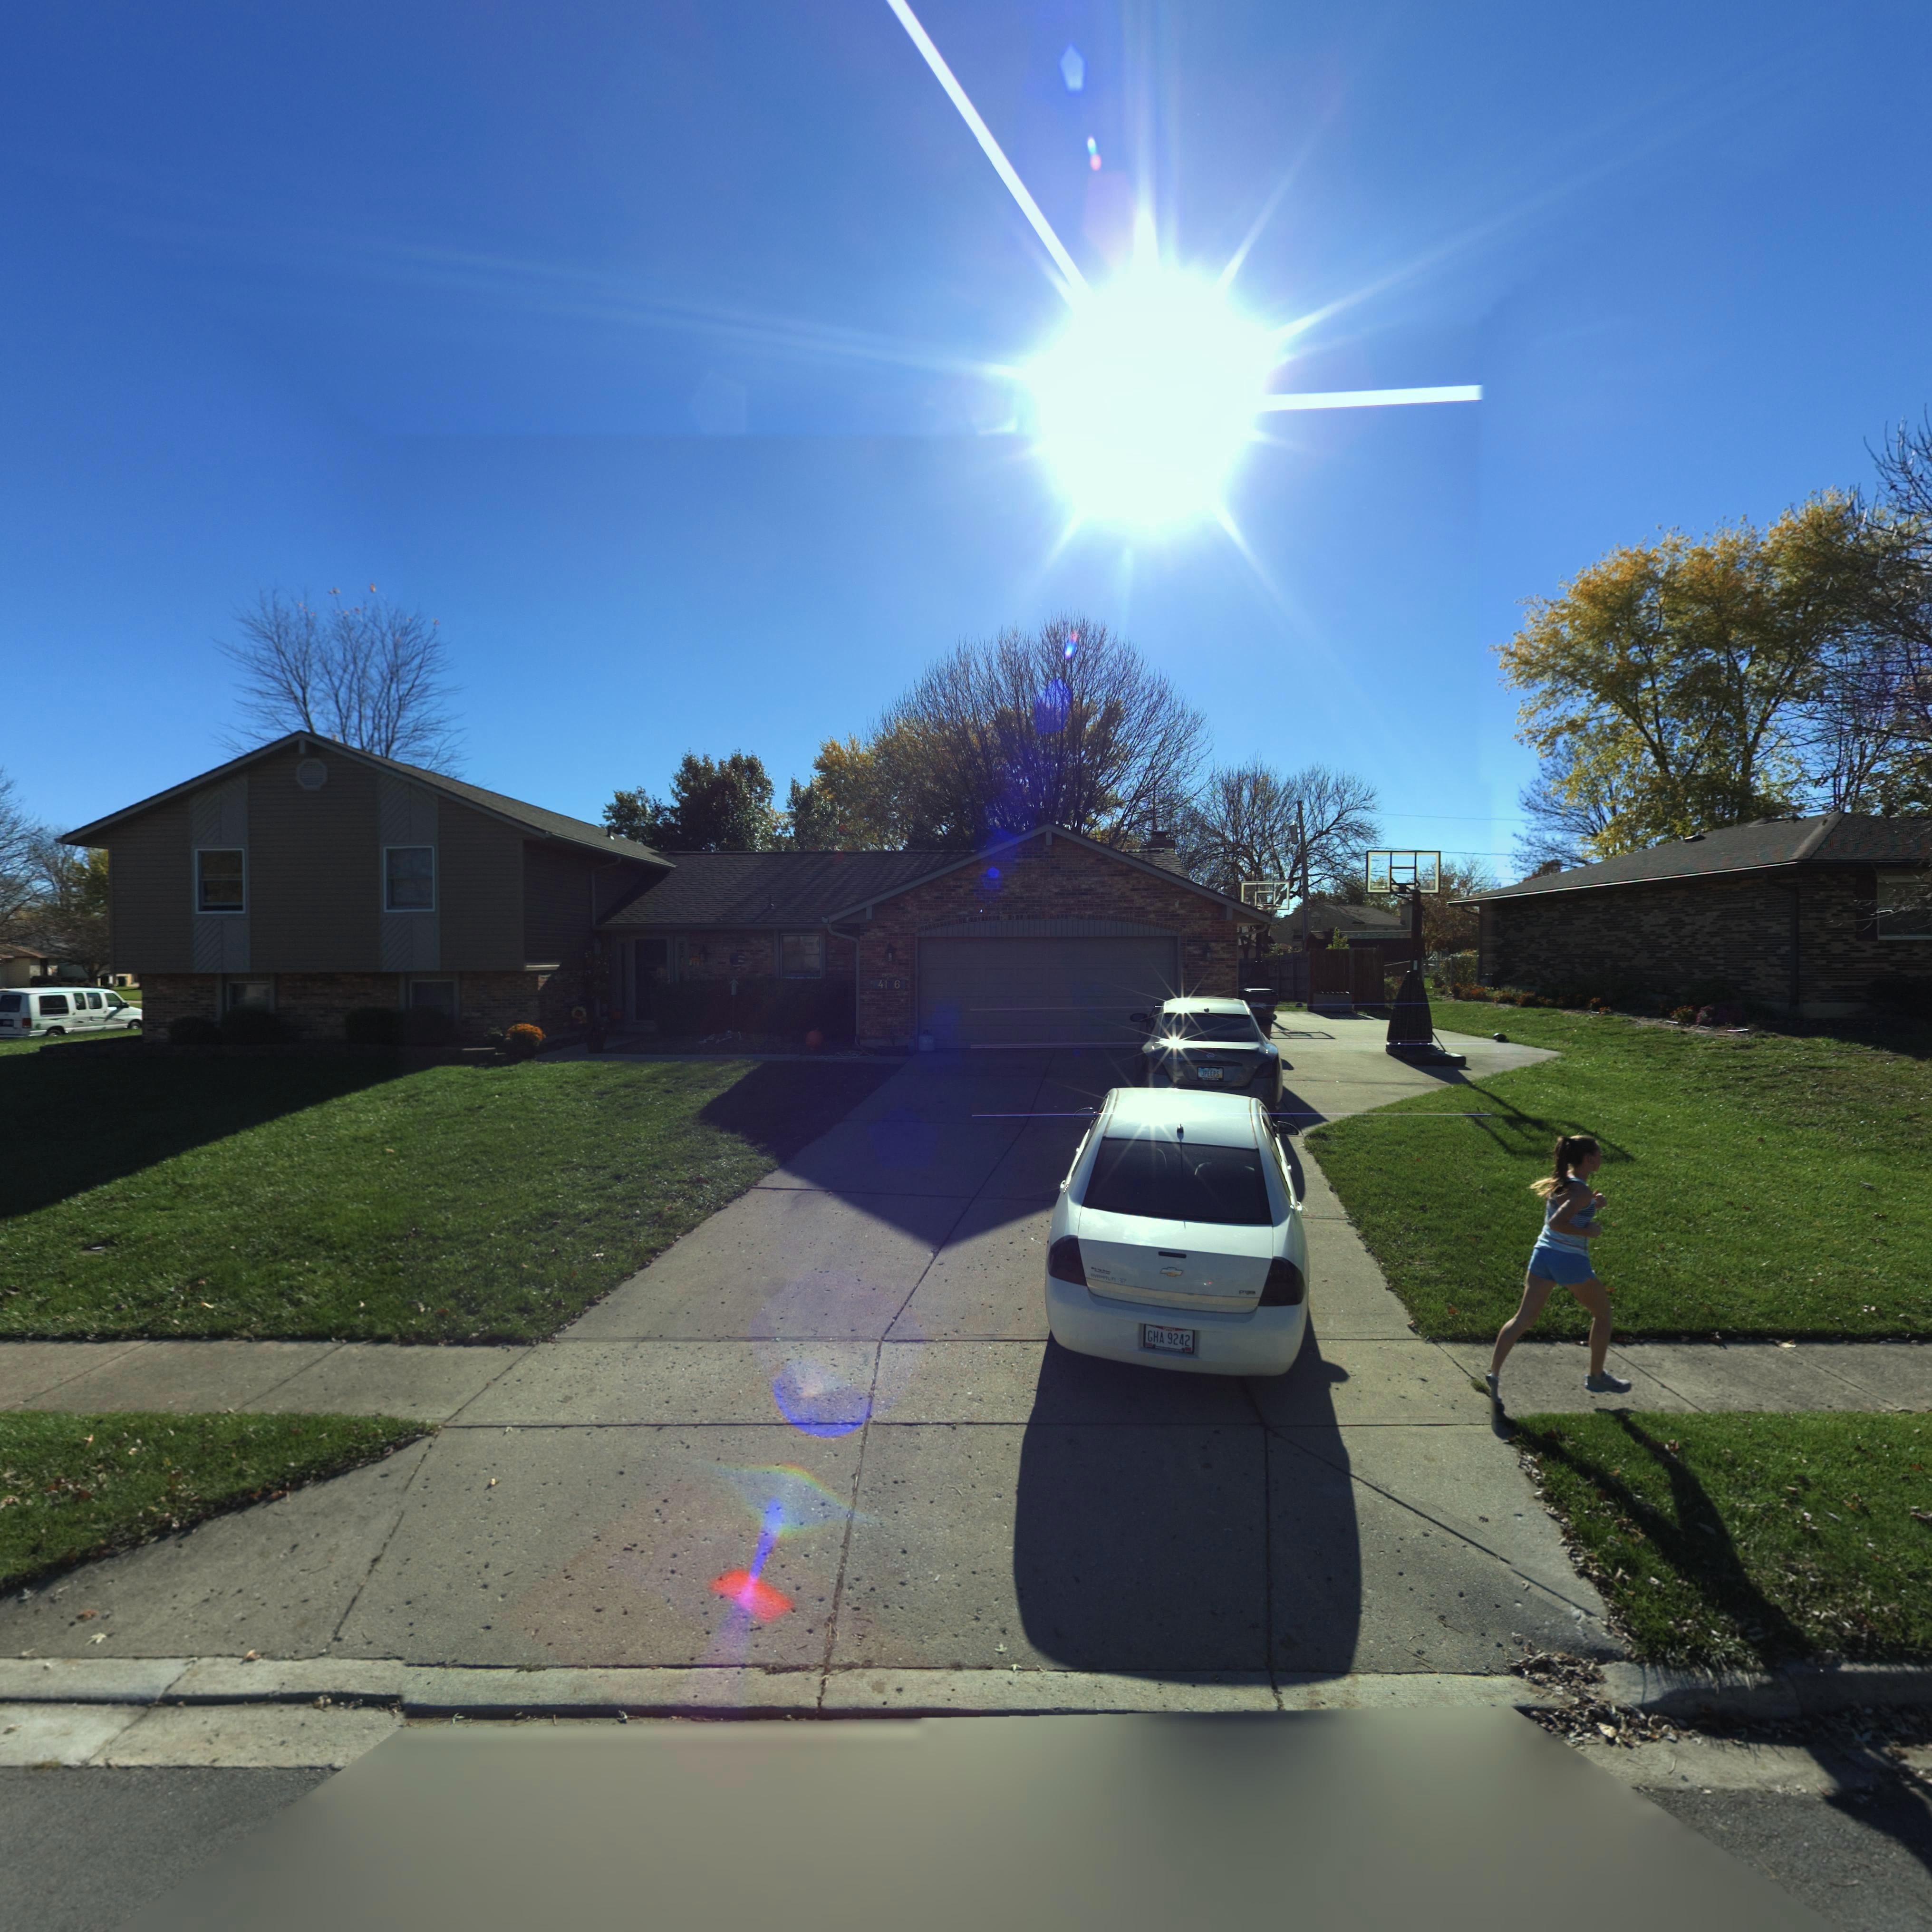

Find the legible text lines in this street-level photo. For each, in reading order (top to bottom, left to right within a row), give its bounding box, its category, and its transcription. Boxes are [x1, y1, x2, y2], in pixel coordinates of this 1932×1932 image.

[877, 979, 902, 990] StreetNumber: 41*6
[1200, 1070, 1219, 1077] None: JPEEPS
[1147, 1329, 1191, 1348] None: GHA*9242